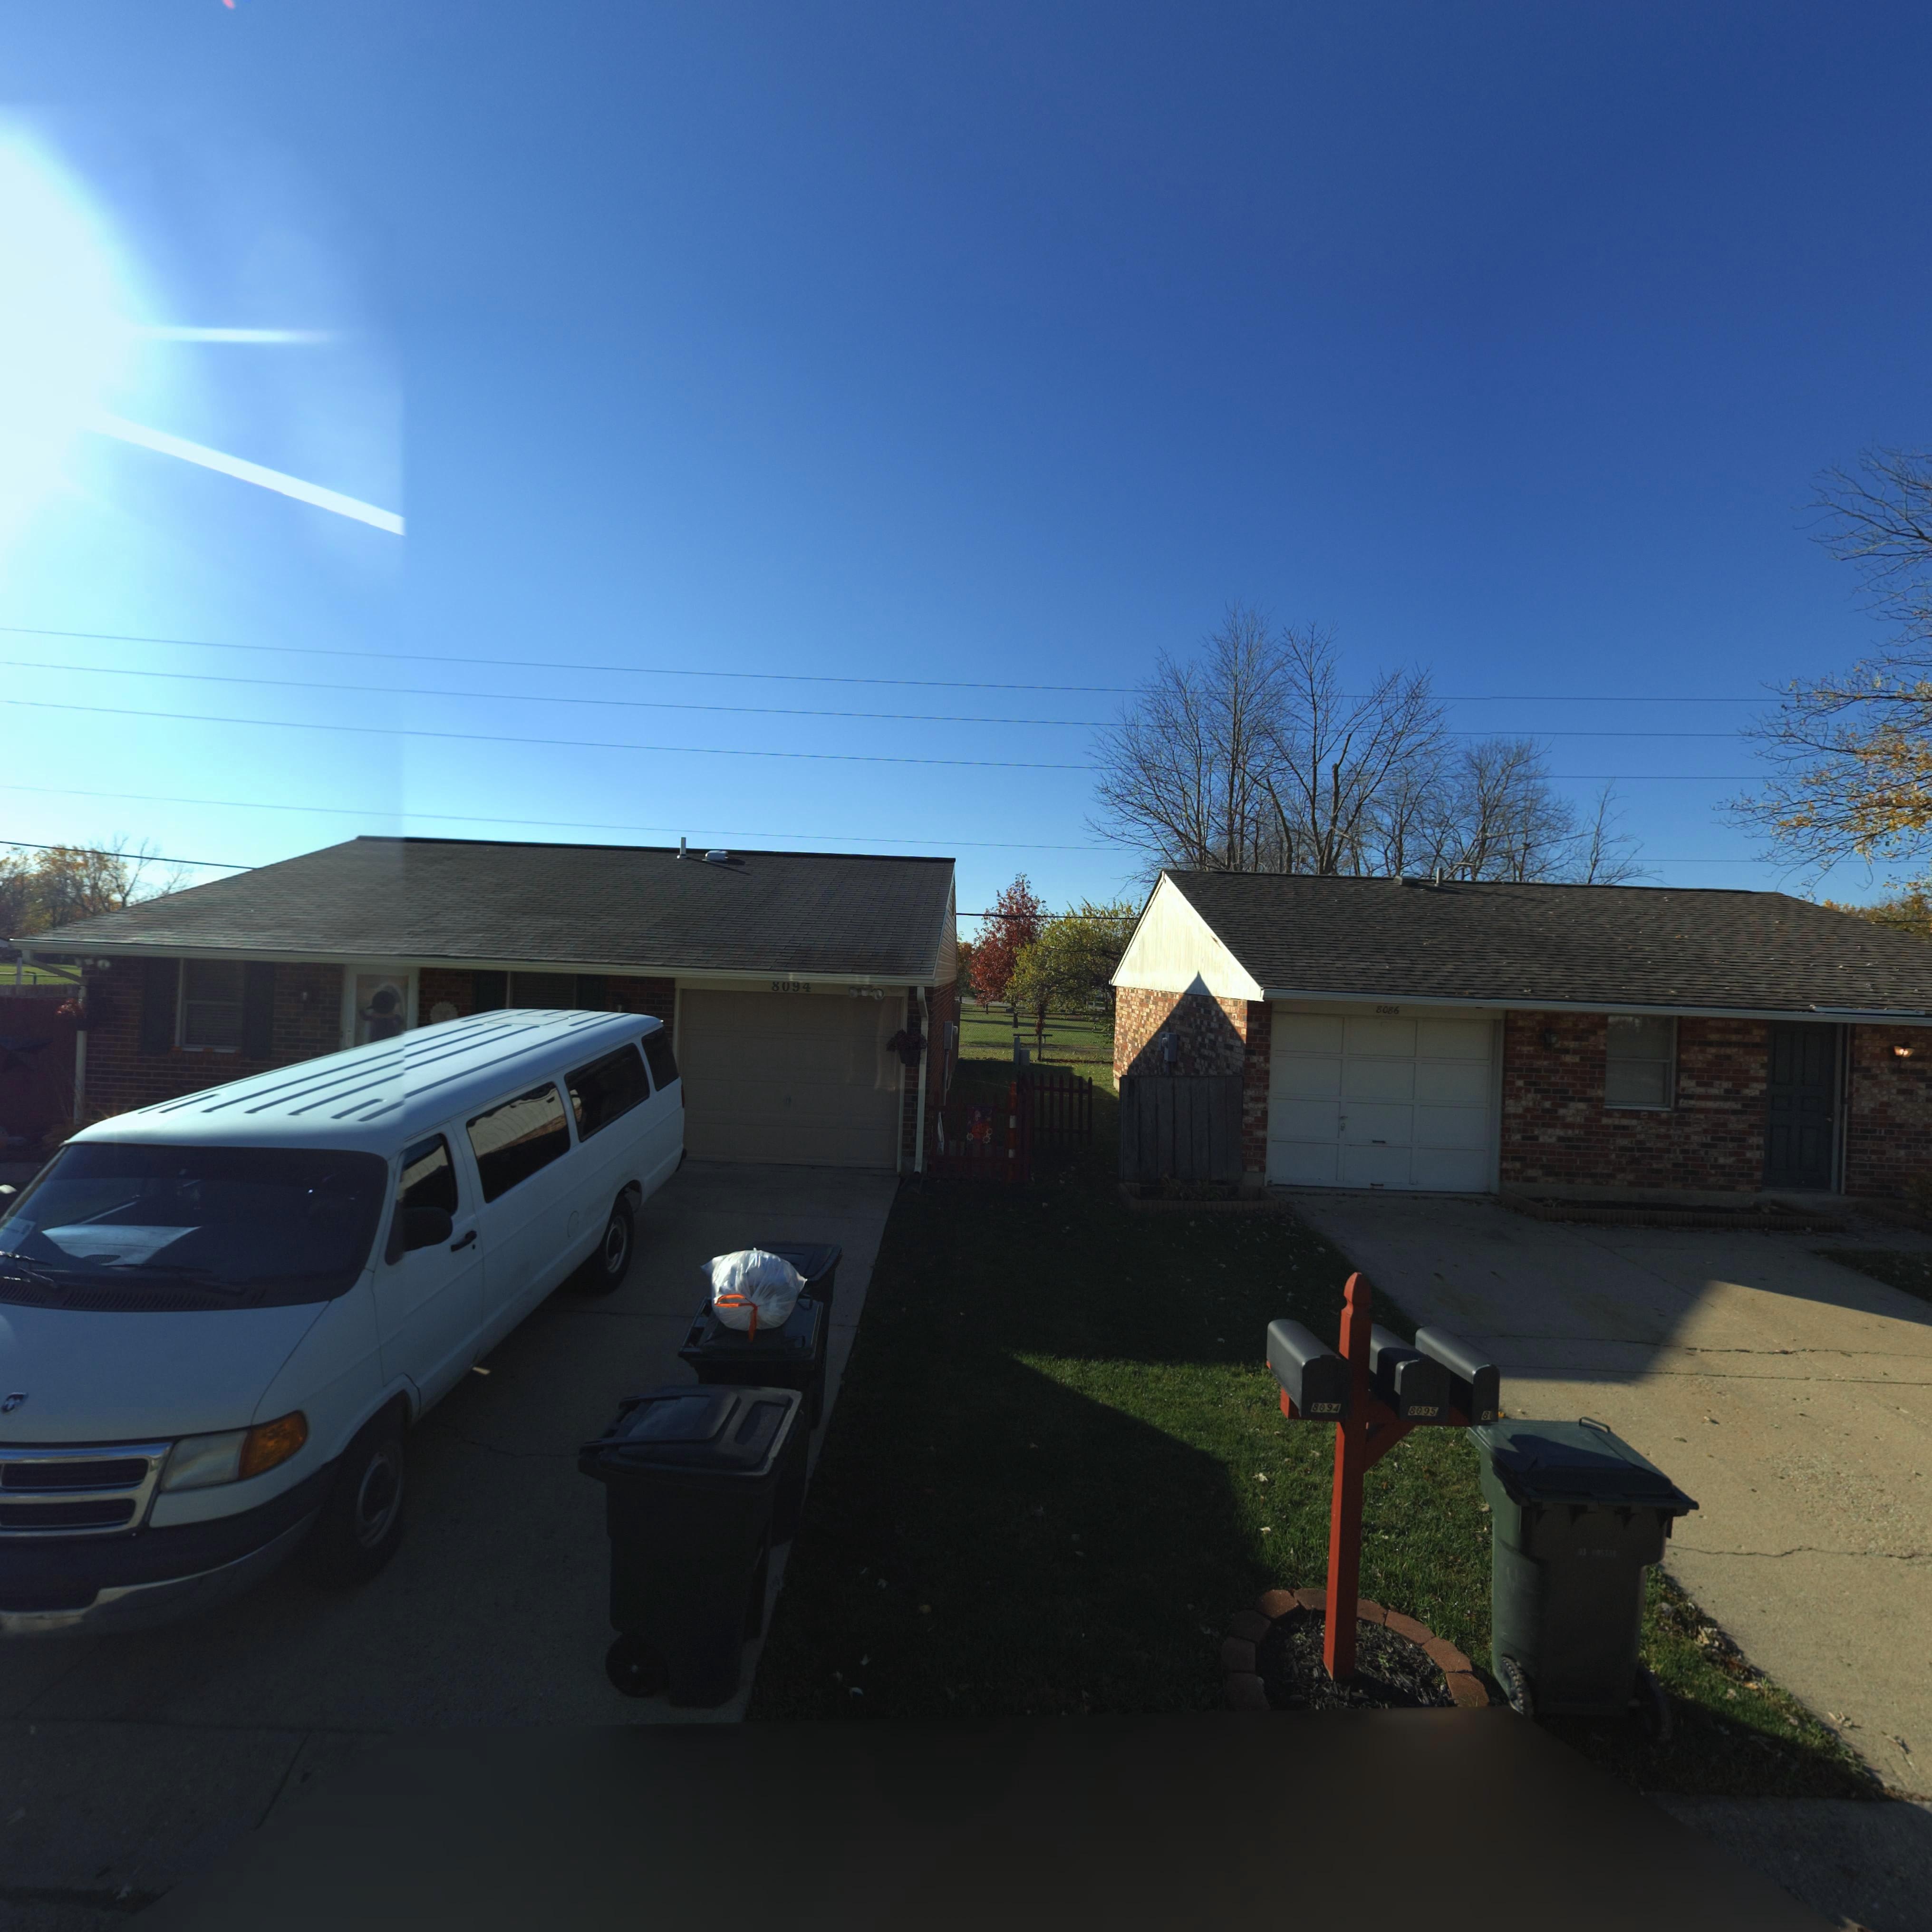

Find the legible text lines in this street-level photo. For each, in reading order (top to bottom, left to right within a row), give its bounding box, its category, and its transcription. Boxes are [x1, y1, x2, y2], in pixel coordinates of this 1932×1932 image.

[1375, 1005, 1401, 1016] StreetNumber: 8086
[1311, 1402, 1342, 1413] StreetNumber: 8094
[1408, 1406, 1438, 1416] StreetNumber: 8095
[1481, 1410, 1490, 1420] StreetNumber: 8